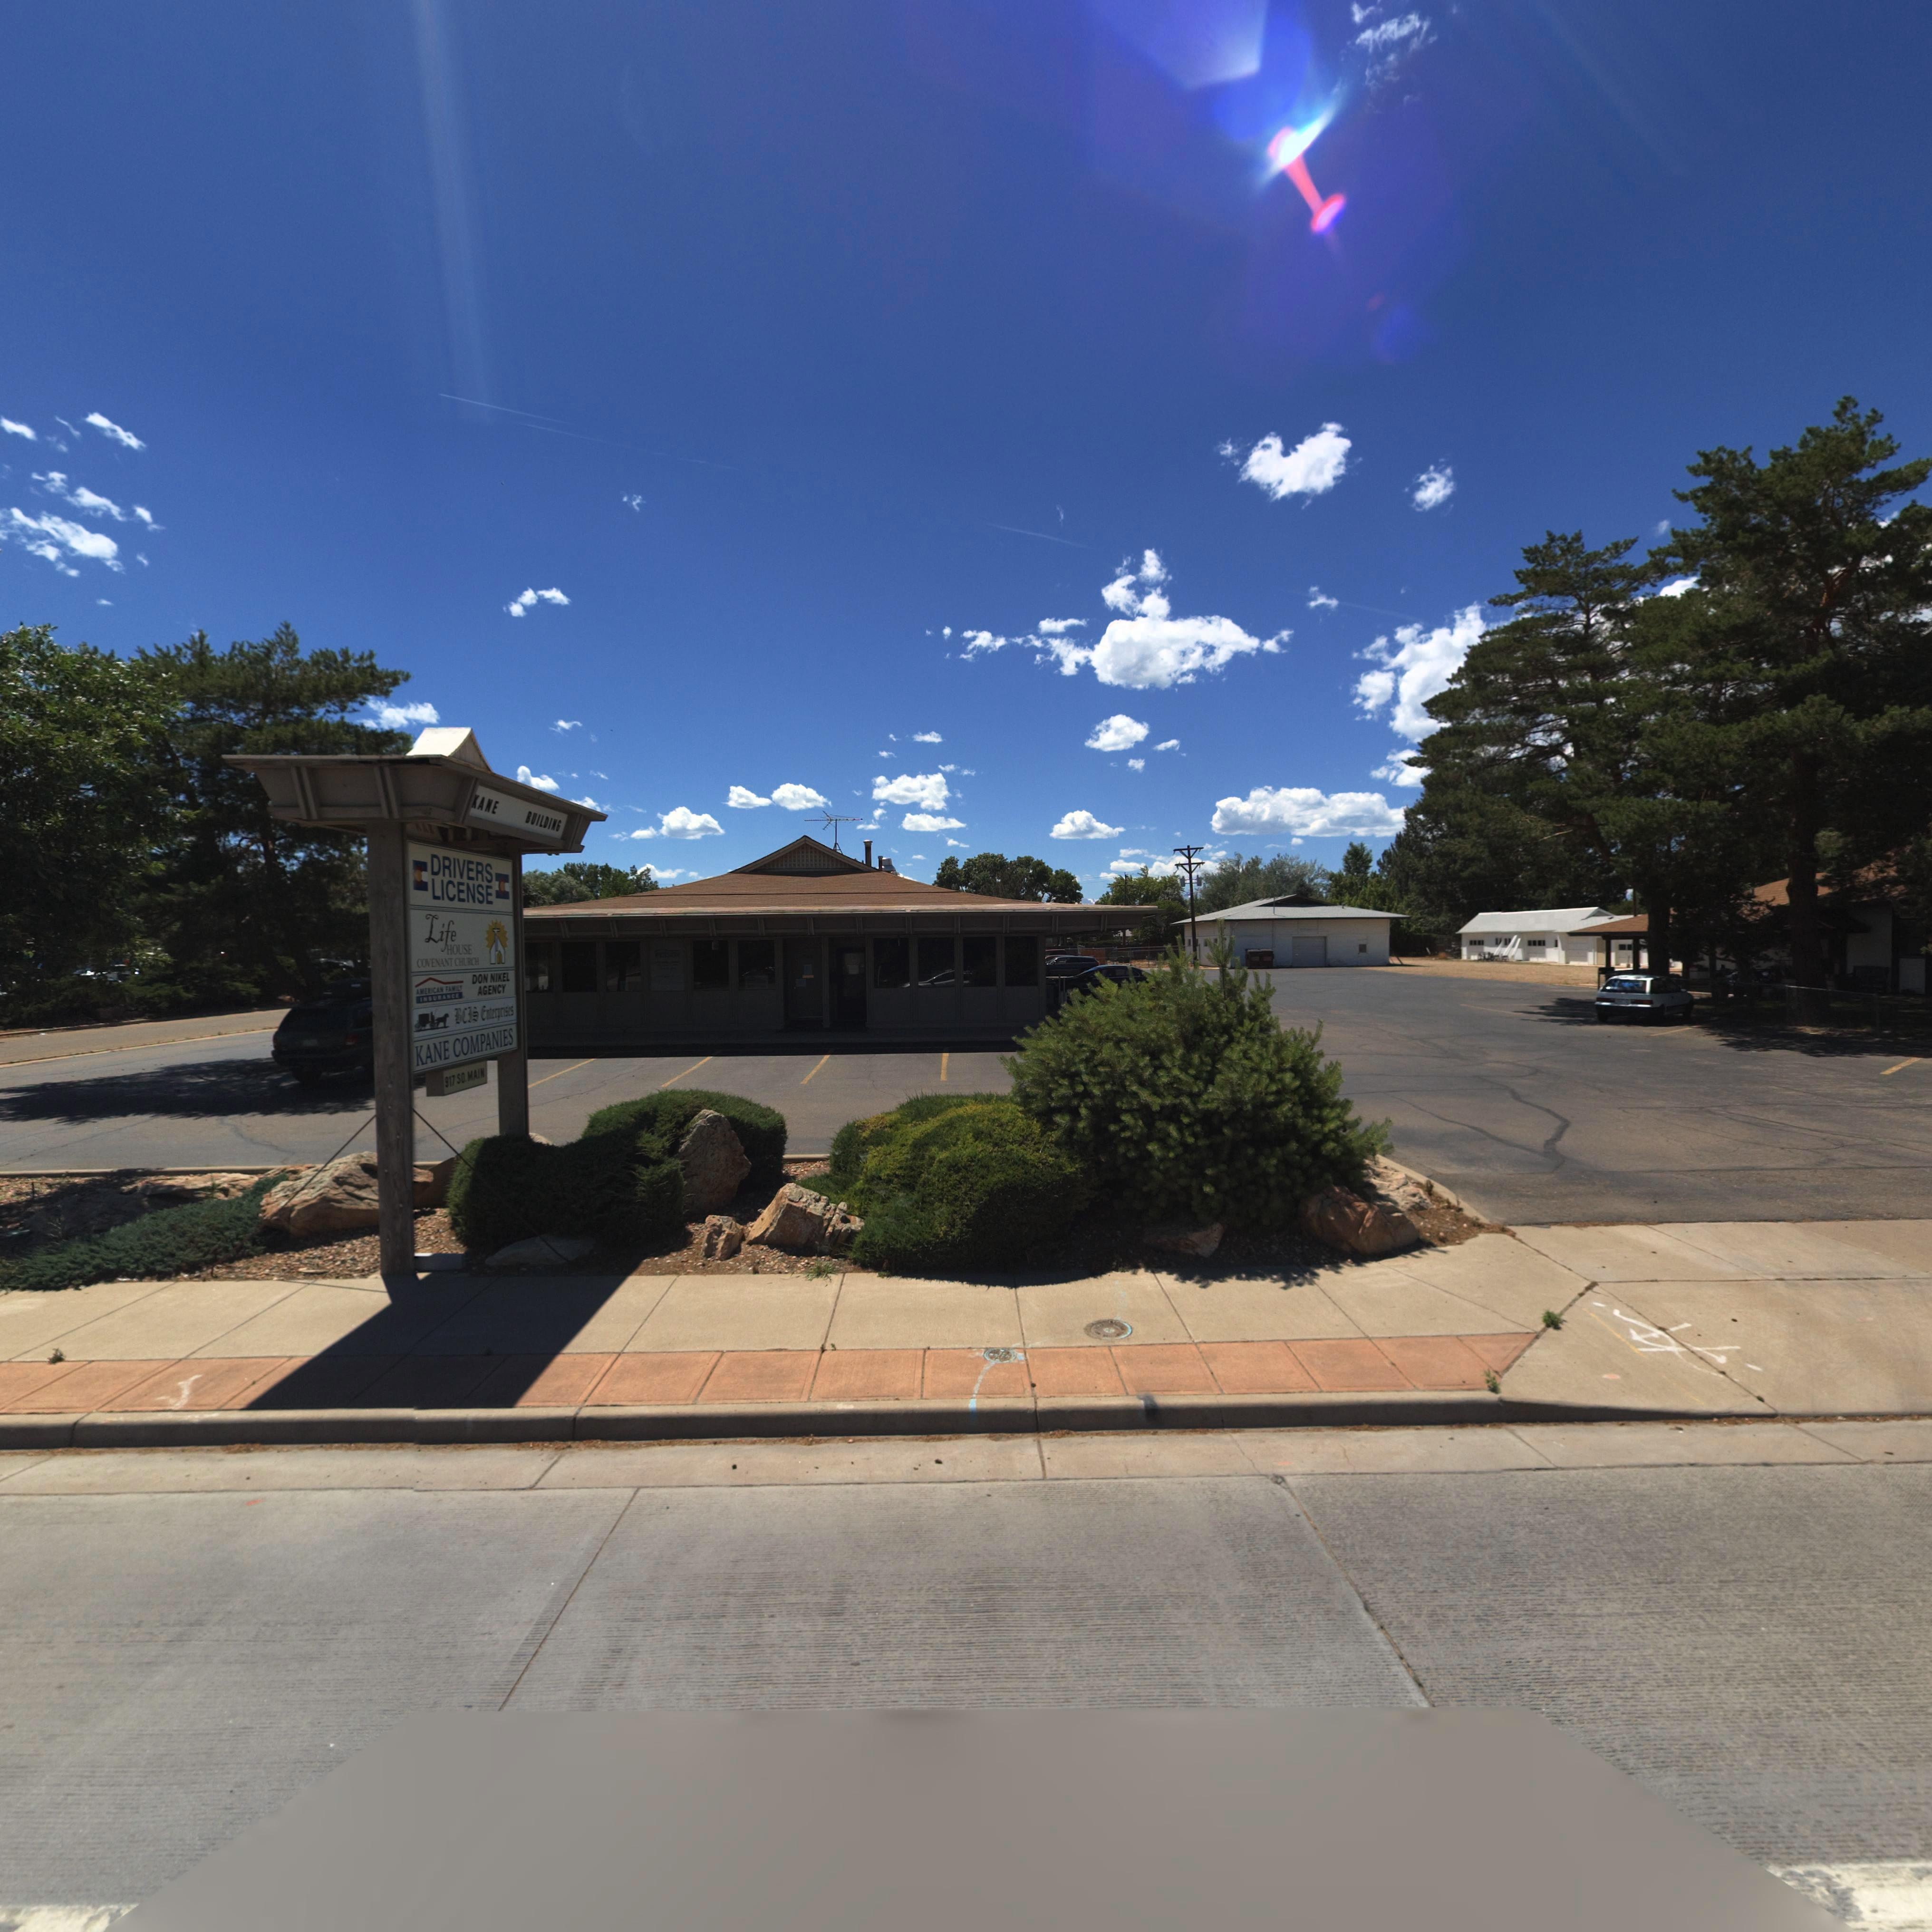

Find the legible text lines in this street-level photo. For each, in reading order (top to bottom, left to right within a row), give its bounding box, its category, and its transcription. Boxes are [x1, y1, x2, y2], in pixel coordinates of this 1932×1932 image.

[424, 912, 457, 953] BusinessName: Life
[446, 944, 472, 955] BusinessName: HOUSE
[416, 956, 479, 968] BusinessName: COVENANT CHURCH
[415, 985, 463, 995] BusinessName: AMERICAN FAMILY
[419, 993, 459, 1002] BusinessName: INSURANCE
[455, 1003, 514, 1024] BusinessName: BCIS Enterprises
[415, 1027, 514, 1067] BusinessName: KANE COMPANIES
[444, 1074, 455, 1088] StreetNumber: 917
[456, 1067, 485, 1085] StreetName: SO. MAIN